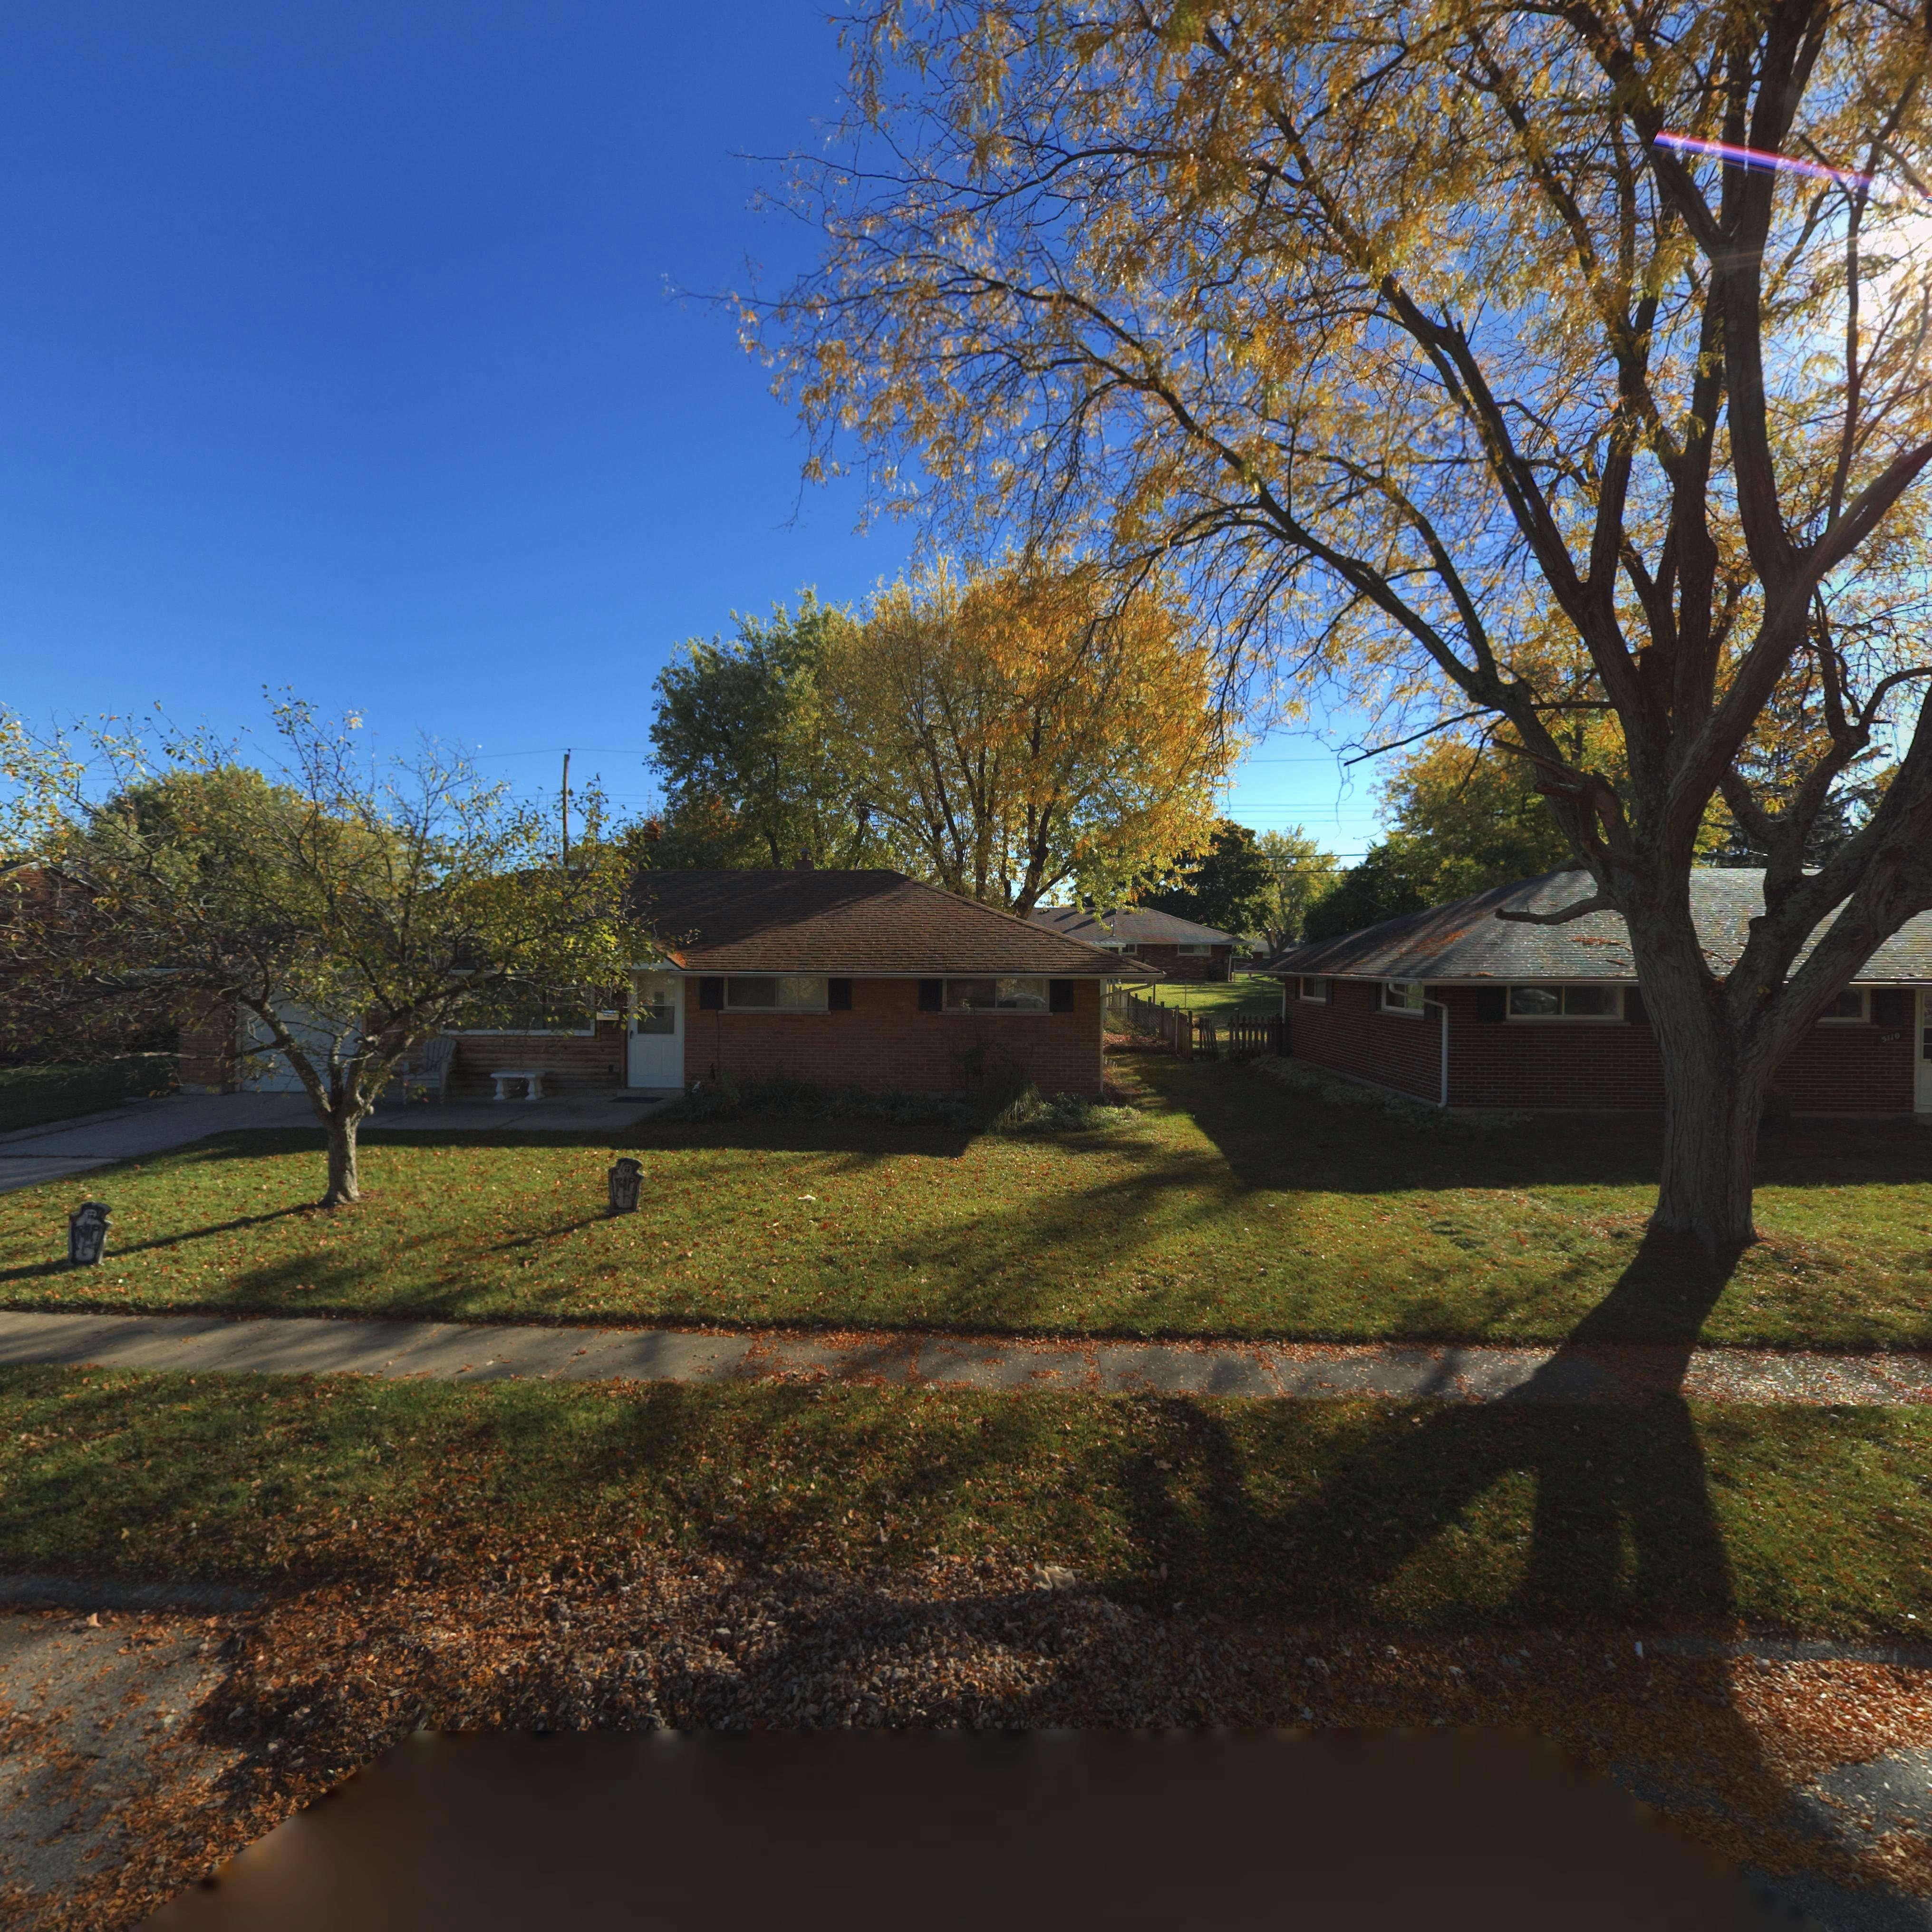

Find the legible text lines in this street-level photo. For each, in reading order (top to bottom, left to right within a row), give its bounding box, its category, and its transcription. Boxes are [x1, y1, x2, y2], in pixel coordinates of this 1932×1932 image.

[1880, 1031, 1901, 1044] StreetNumber: 5110